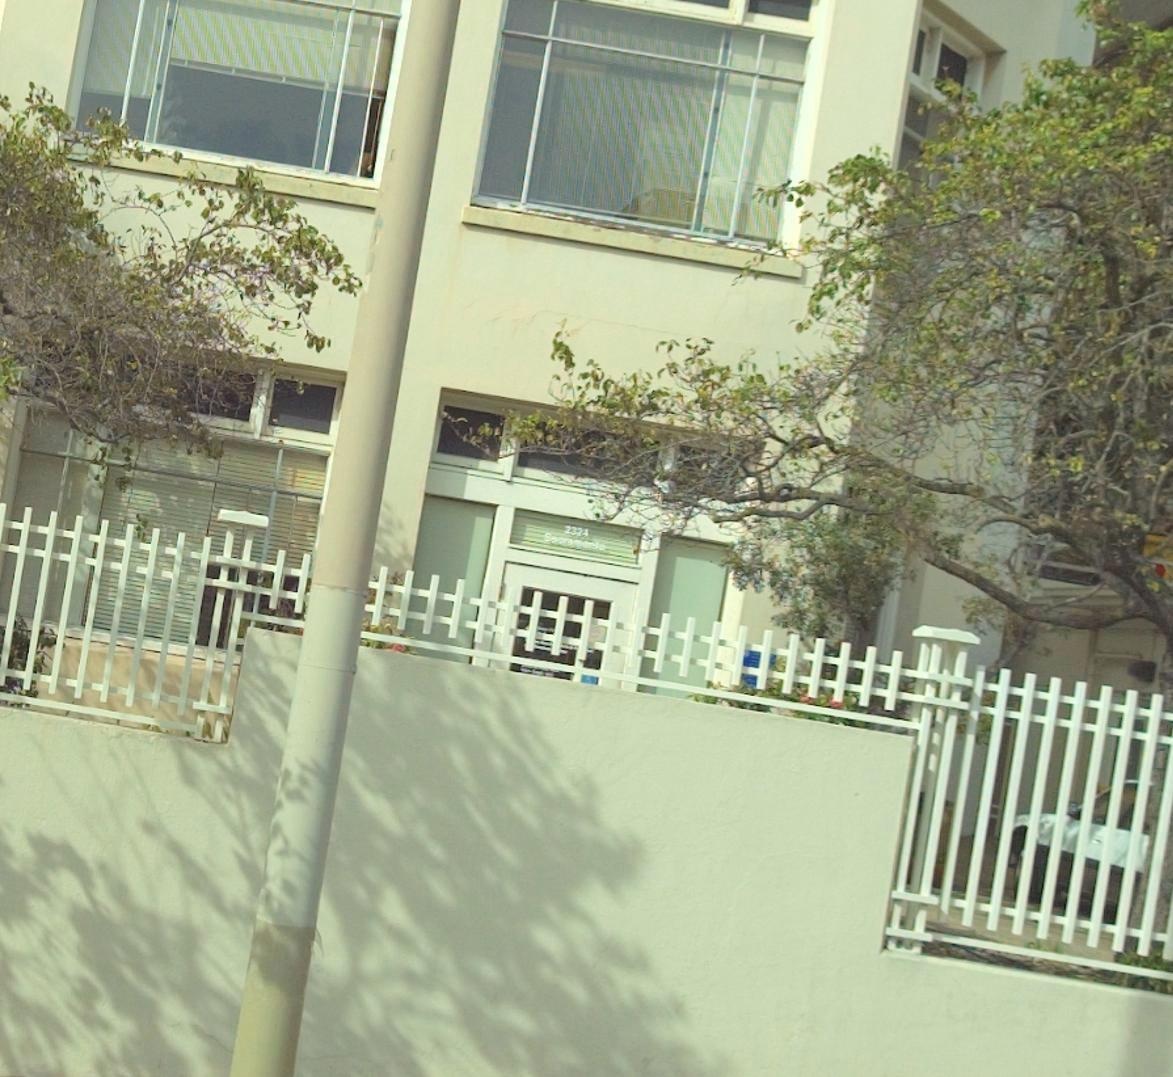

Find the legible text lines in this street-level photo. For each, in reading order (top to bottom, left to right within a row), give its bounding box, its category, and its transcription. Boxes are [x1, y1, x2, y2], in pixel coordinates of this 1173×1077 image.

[563, 524, 589, 540] StreetNumber: 2324